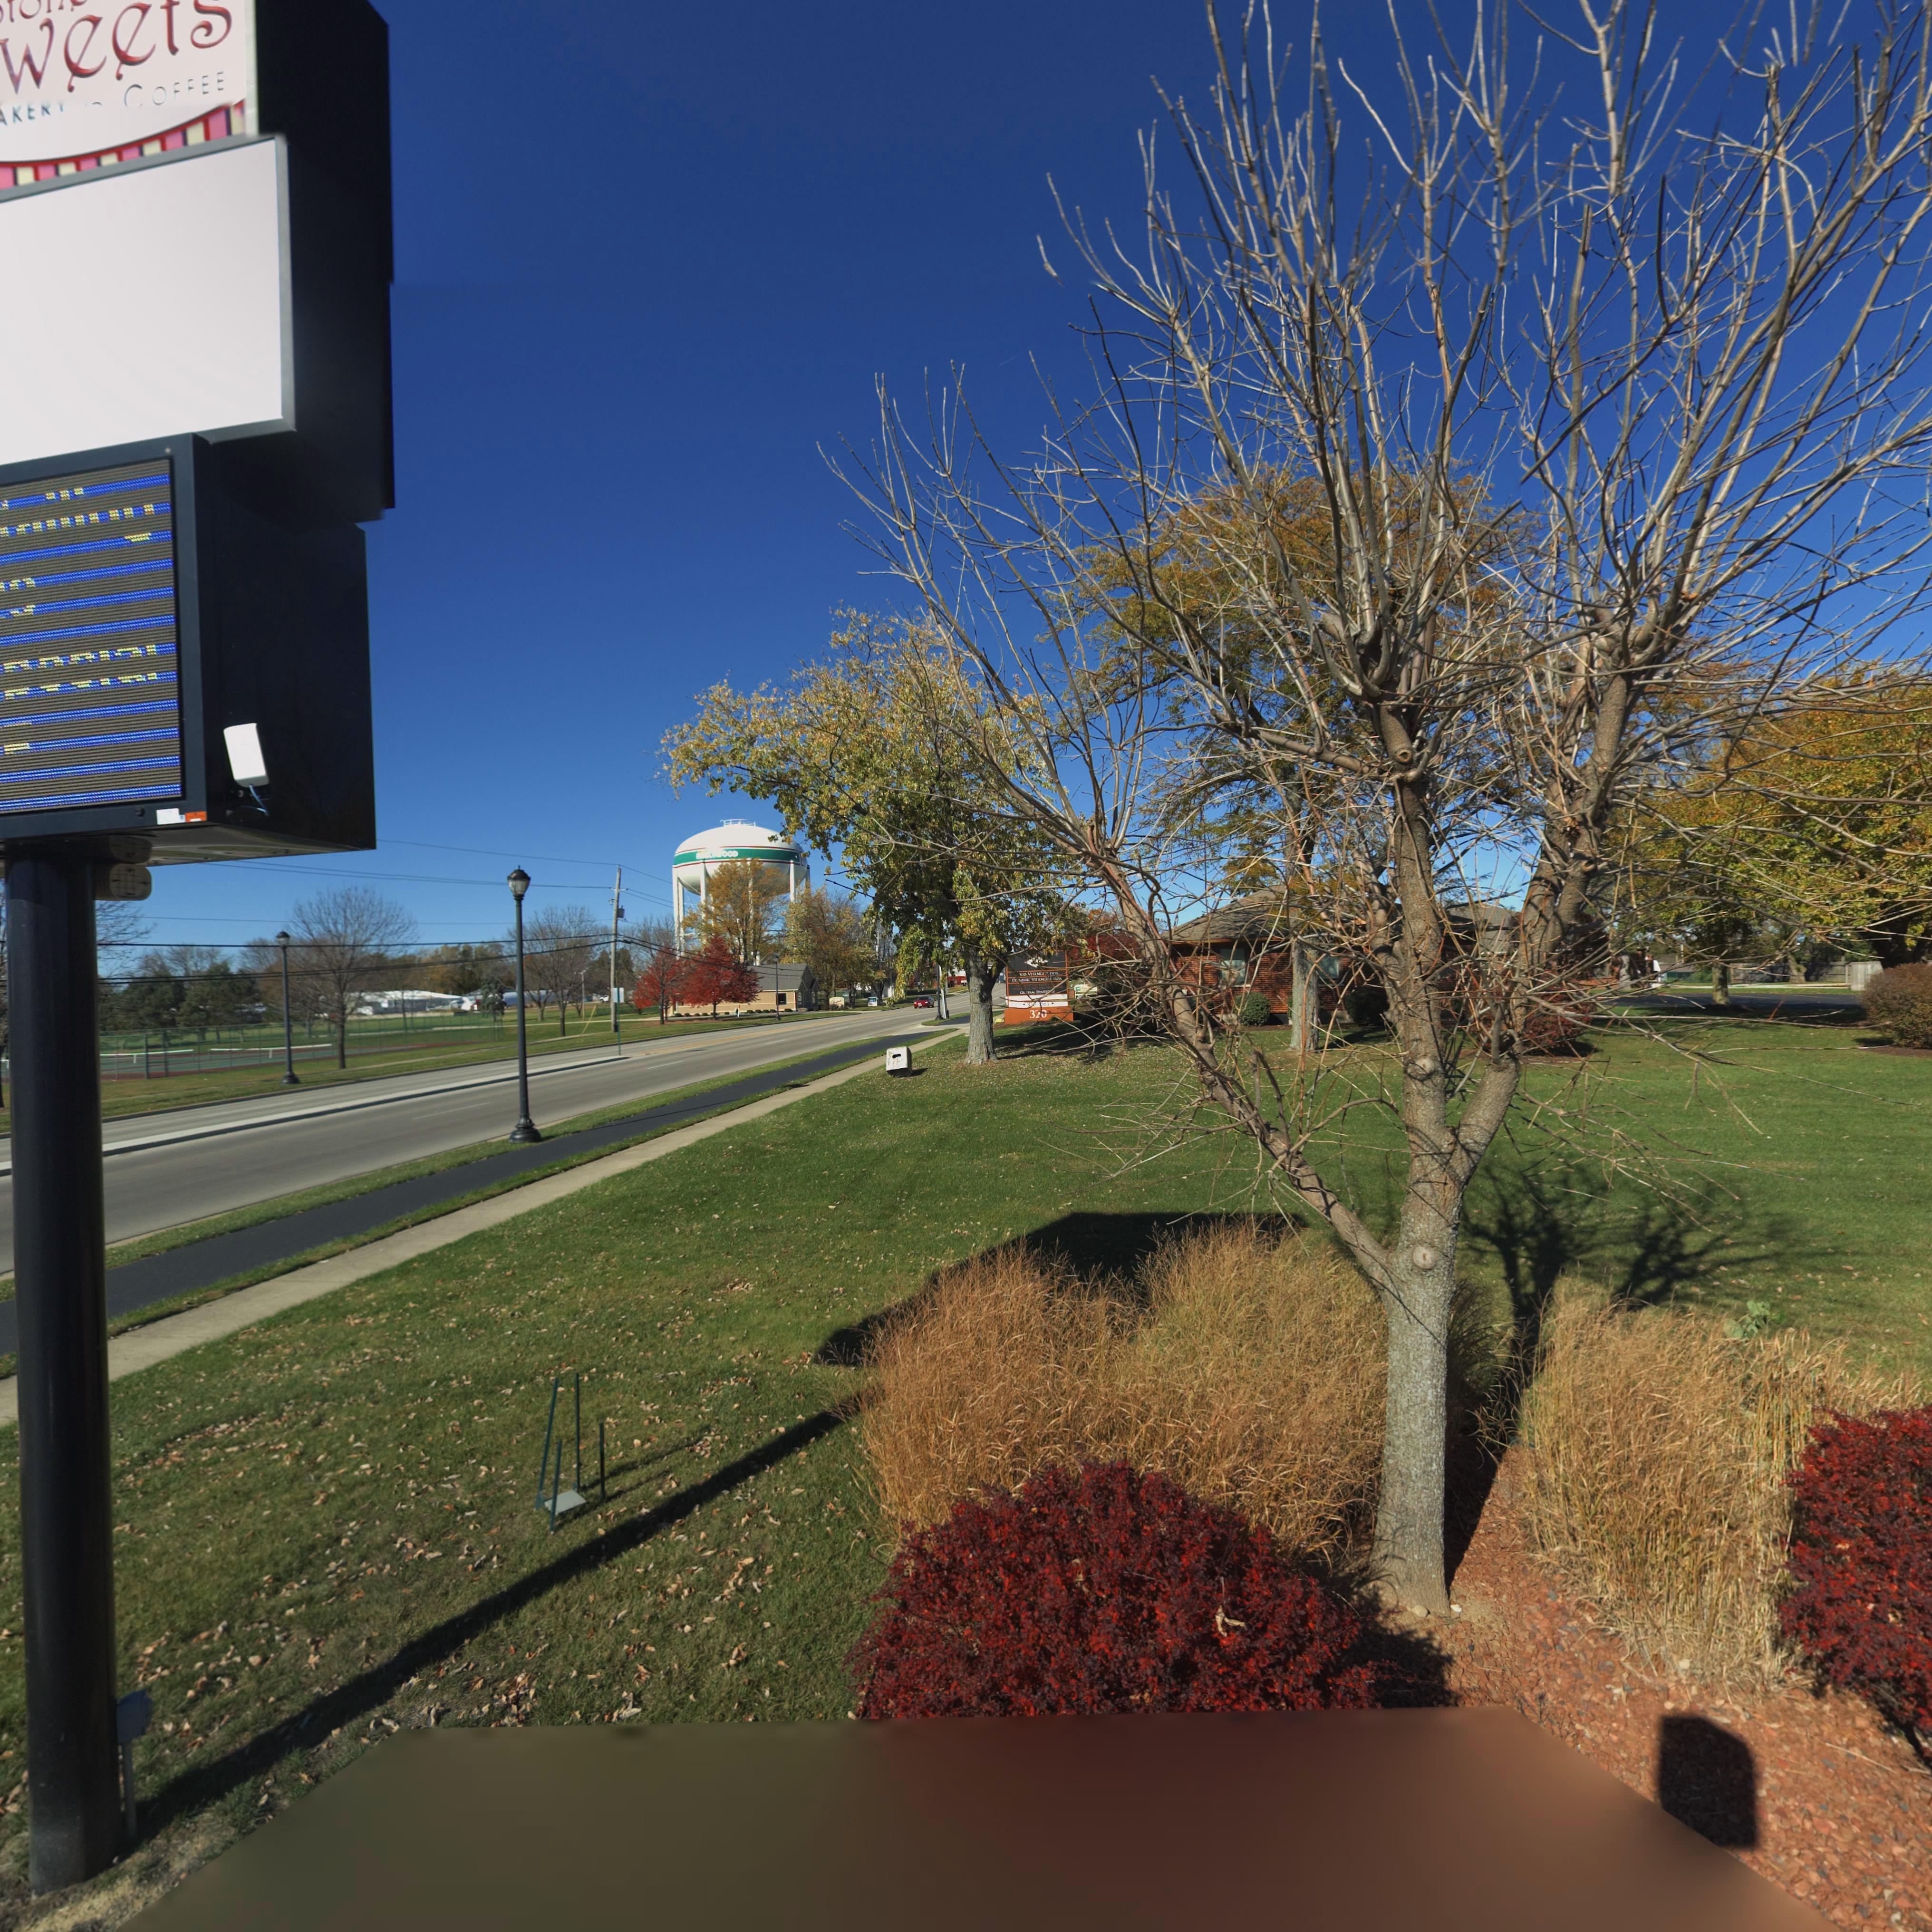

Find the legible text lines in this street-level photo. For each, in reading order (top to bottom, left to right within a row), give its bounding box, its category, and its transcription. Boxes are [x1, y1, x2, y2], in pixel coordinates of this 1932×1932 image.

[0, 1, 160, 97] BusinessName: wee
[120, 68, 227, 115] None: COFFEE
[8, 96, 54, 126] None: KER
[721, 850, 739, 858] None: OOD
[1027, 972, 1041, 976] None: V***N
[1031, 977, 1047, 982] None: VITANG
[1026, 1001, 1051, 1007] None: 8*****6*
[1029, 1009, 1048, 1020] StreetNumber: 3**